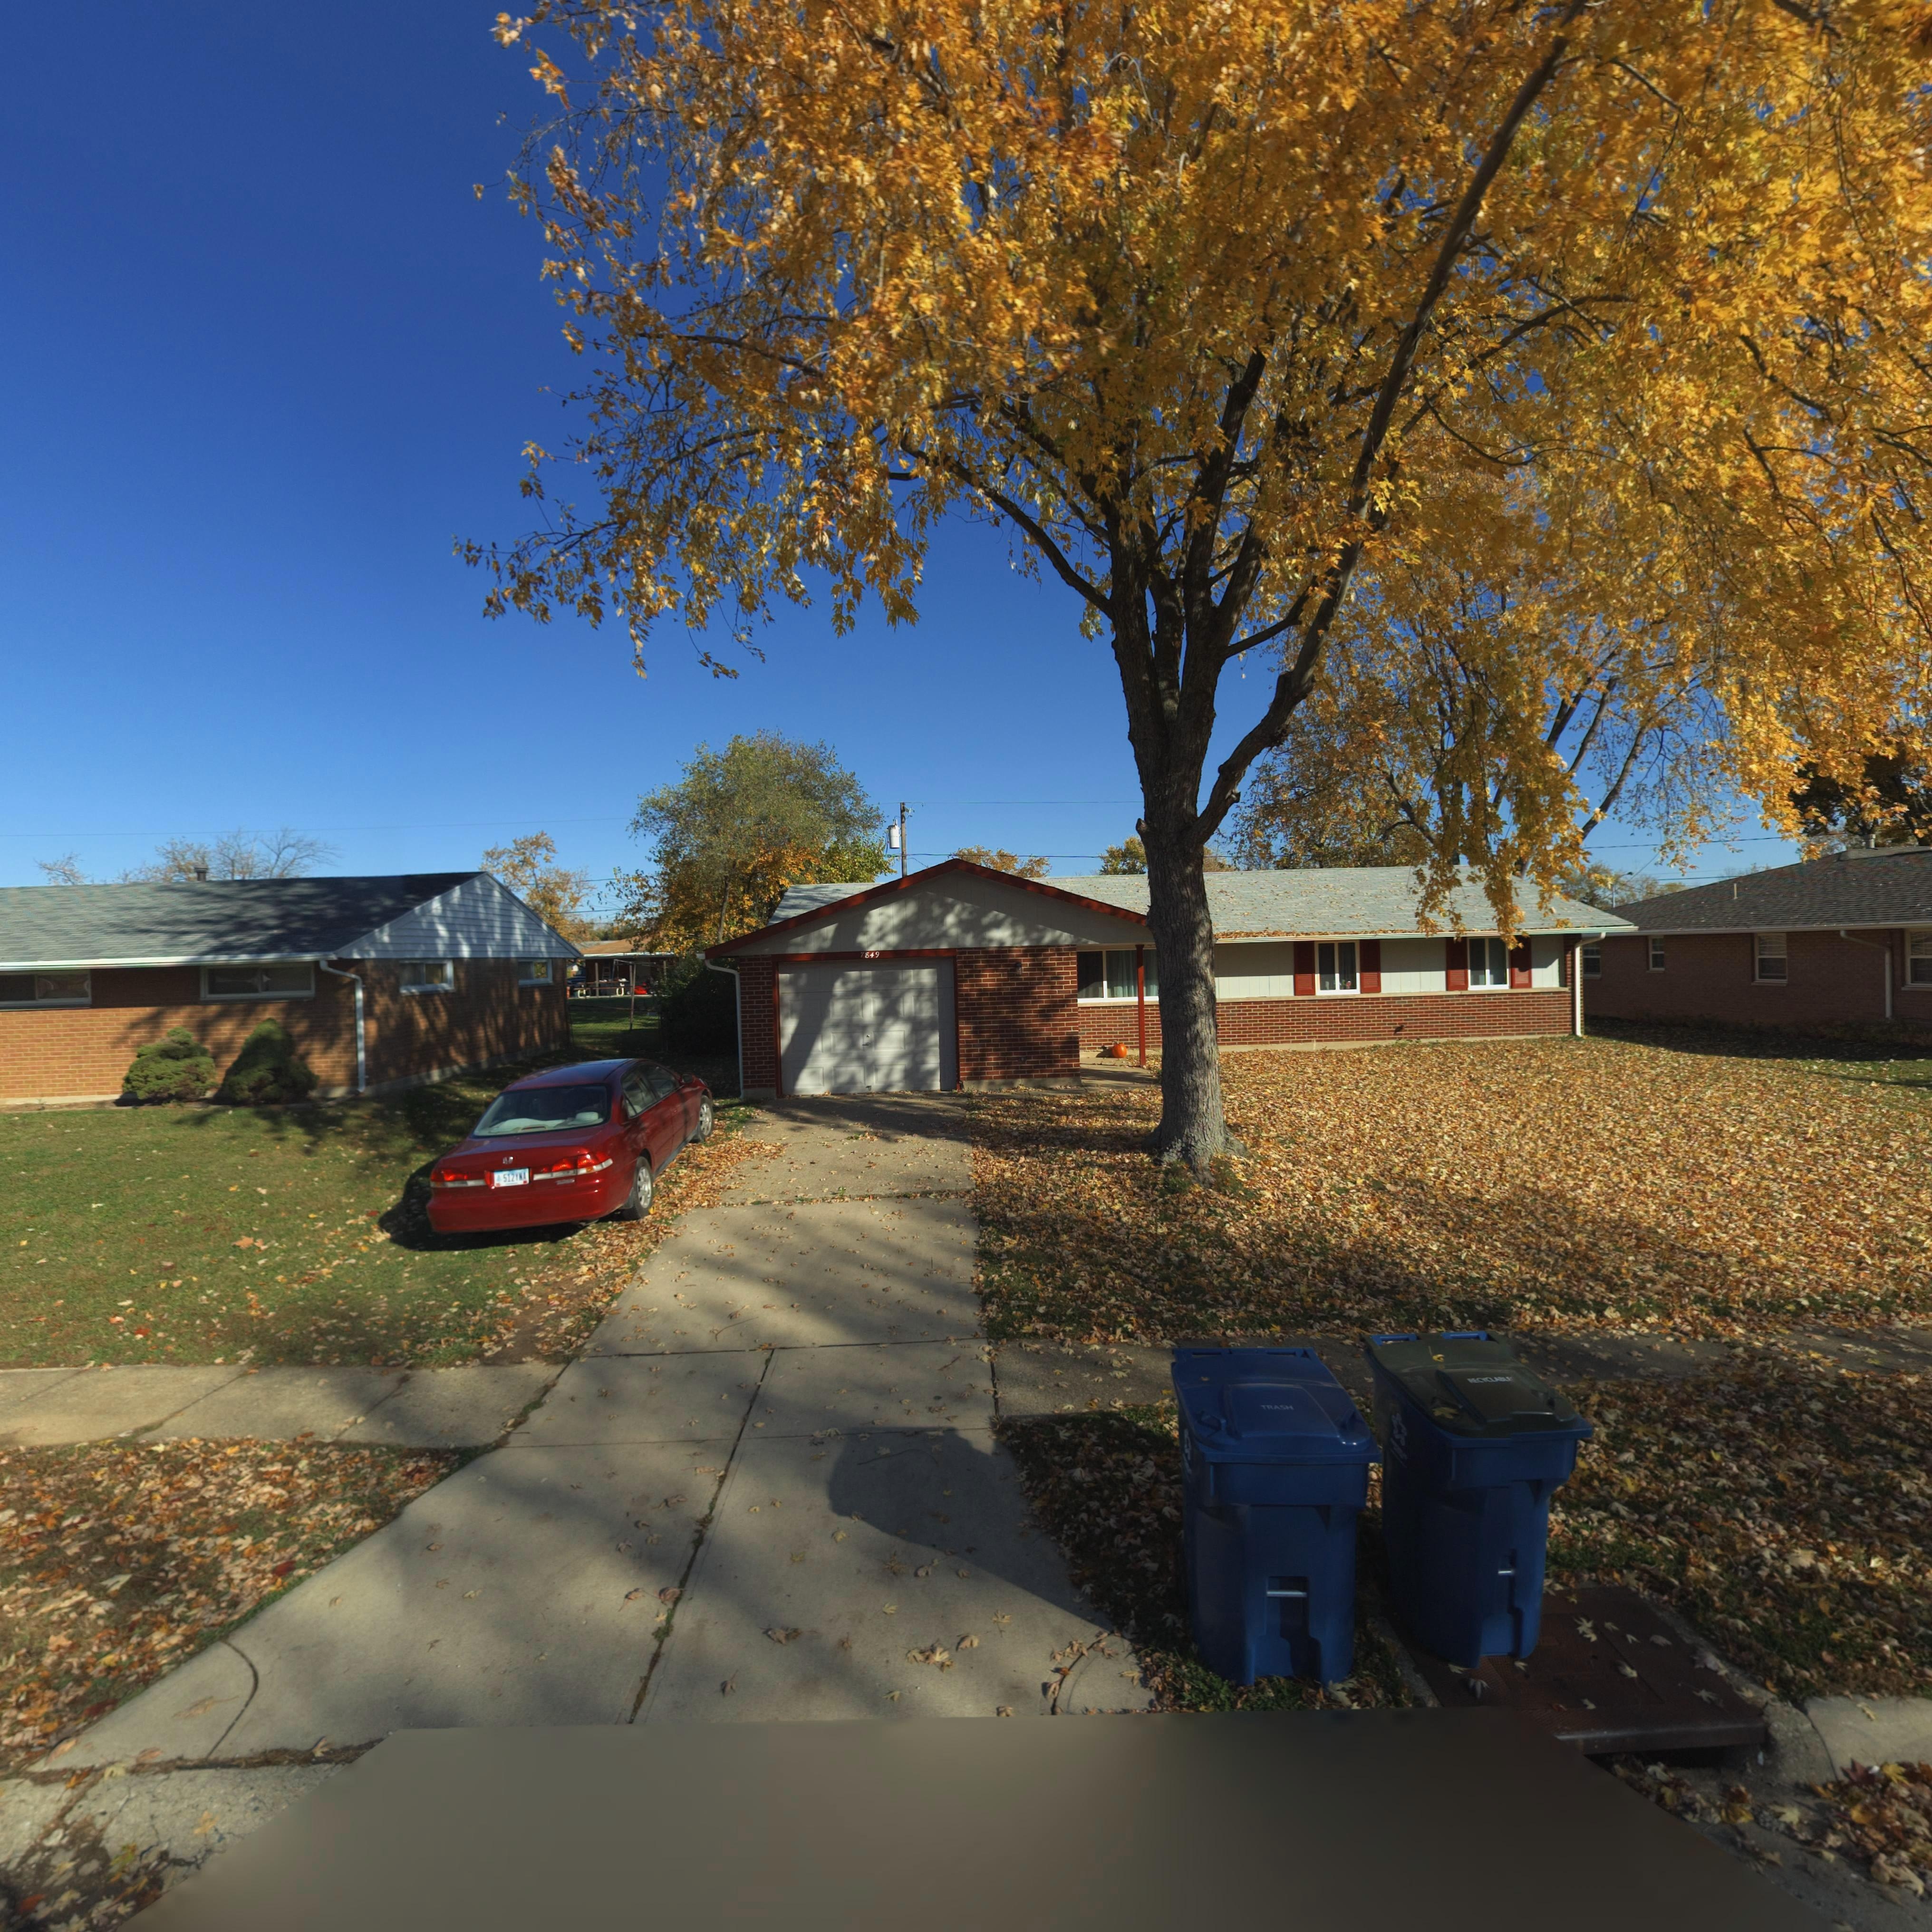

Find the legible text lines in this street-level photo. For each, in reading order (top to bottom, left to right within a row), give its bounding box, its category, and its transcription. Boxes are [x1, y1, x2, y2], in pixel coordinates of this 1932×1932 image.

[860, 951, 880, 958] StreetNumber: 7849